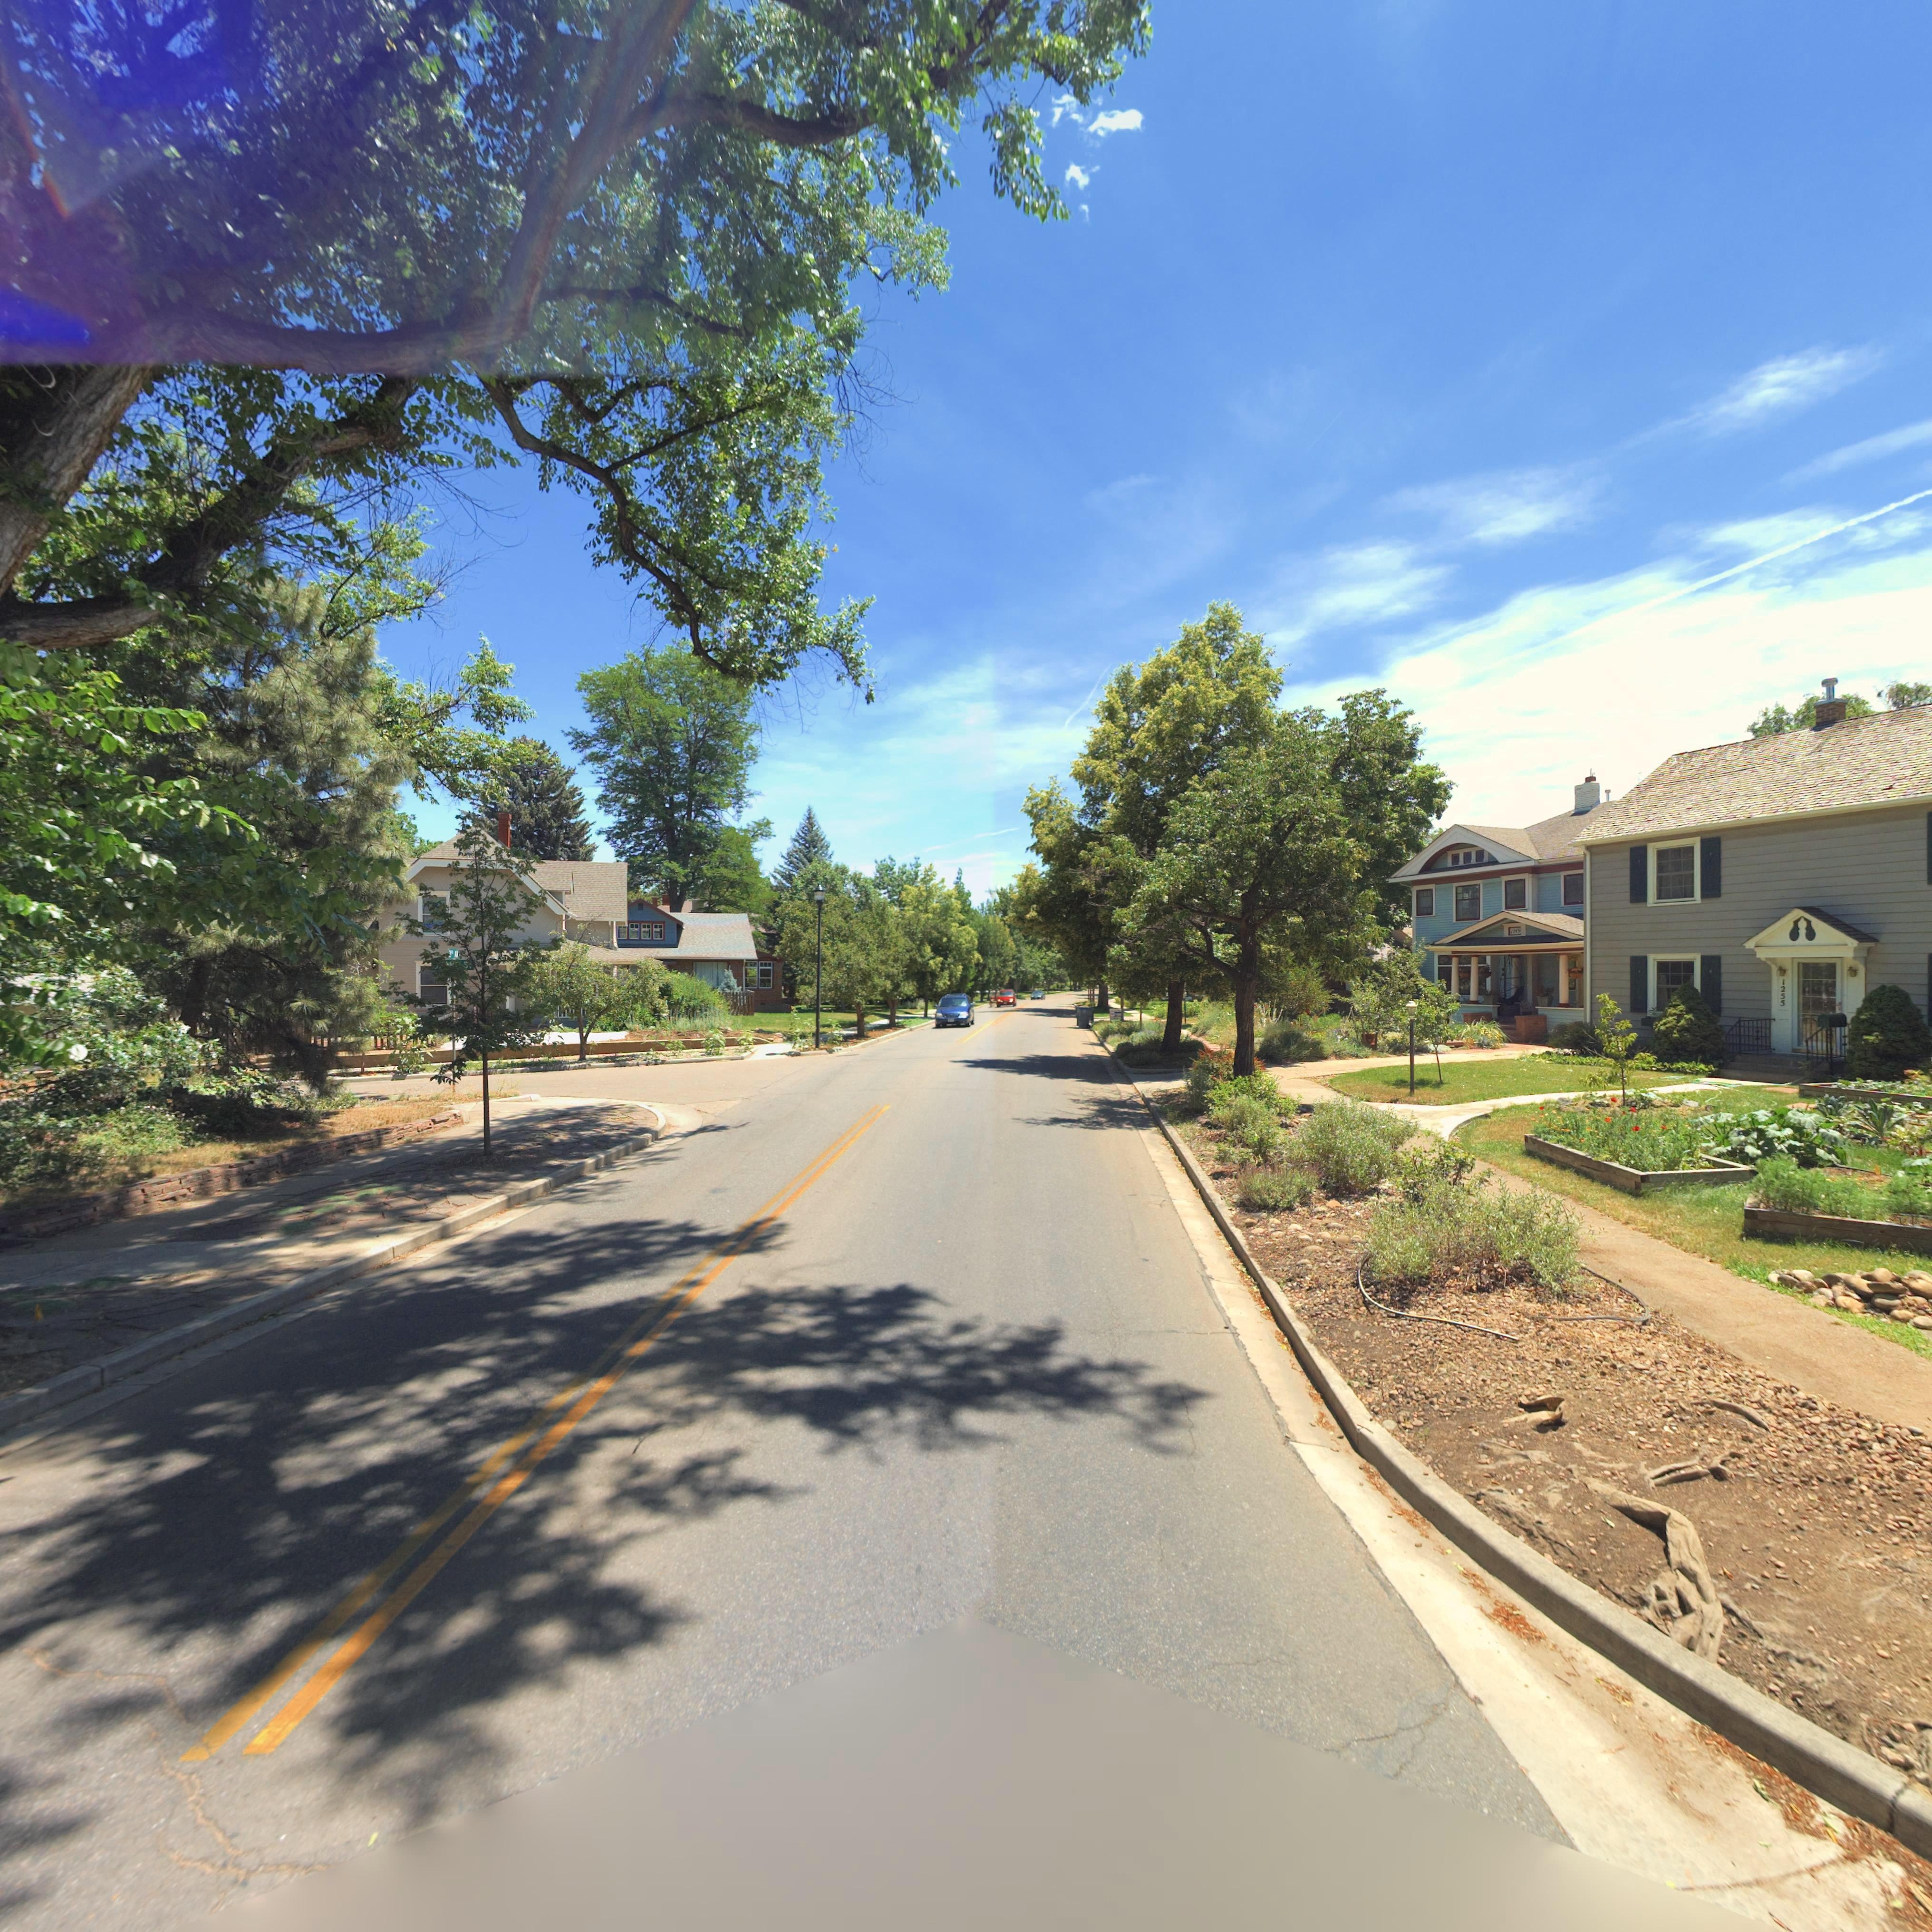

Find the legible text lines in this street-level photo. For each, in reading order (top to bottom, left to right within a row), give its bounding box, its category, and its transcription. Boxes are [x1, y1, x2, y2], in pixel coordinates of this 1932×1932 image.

[1510, 928, 1520, 933] StreetNumber: 1249
[448, 950, 458, 957] StreetName: 3** A*
[1779, 978, 1785, 1006] StreetNumber: 1255